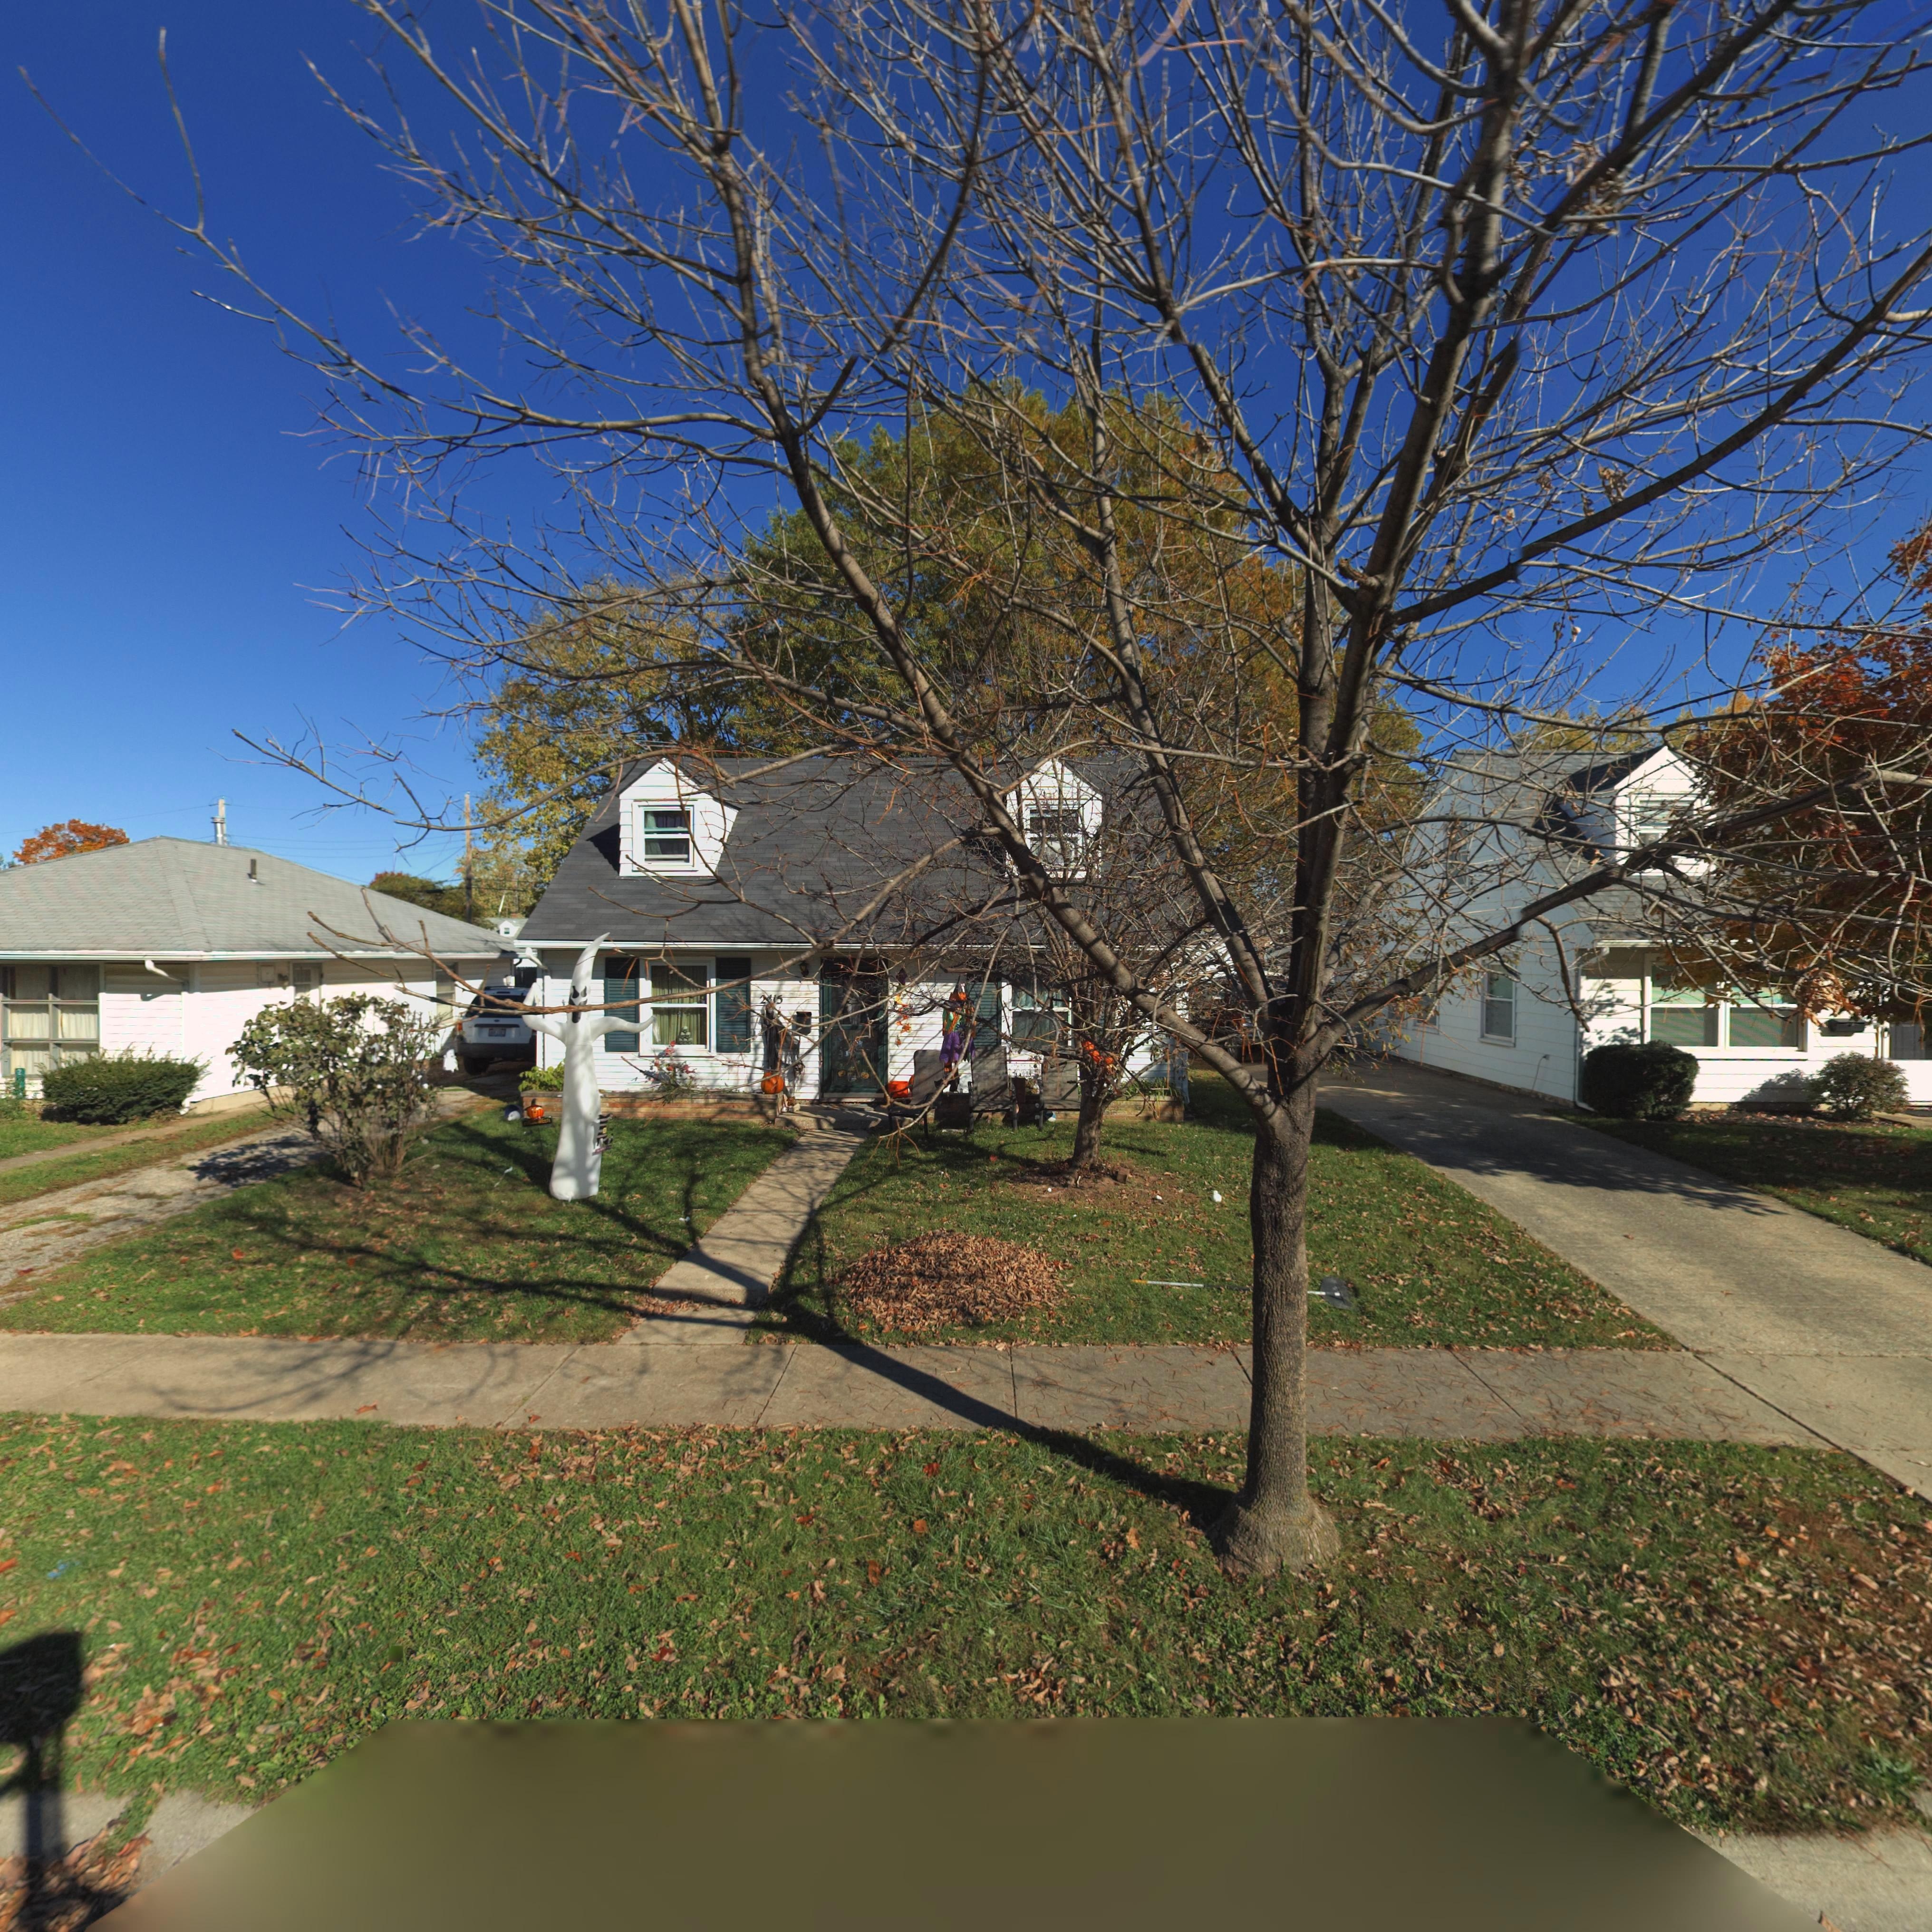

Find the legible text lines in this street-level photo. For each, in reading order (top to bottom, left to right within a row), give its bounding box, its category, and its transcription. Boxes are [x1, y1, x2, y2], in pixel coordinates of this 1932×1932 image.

[758, 994, 784, 1005] StreetNumber: 2*15
[17, 1068, 22, 1077] StreetNumber: 2